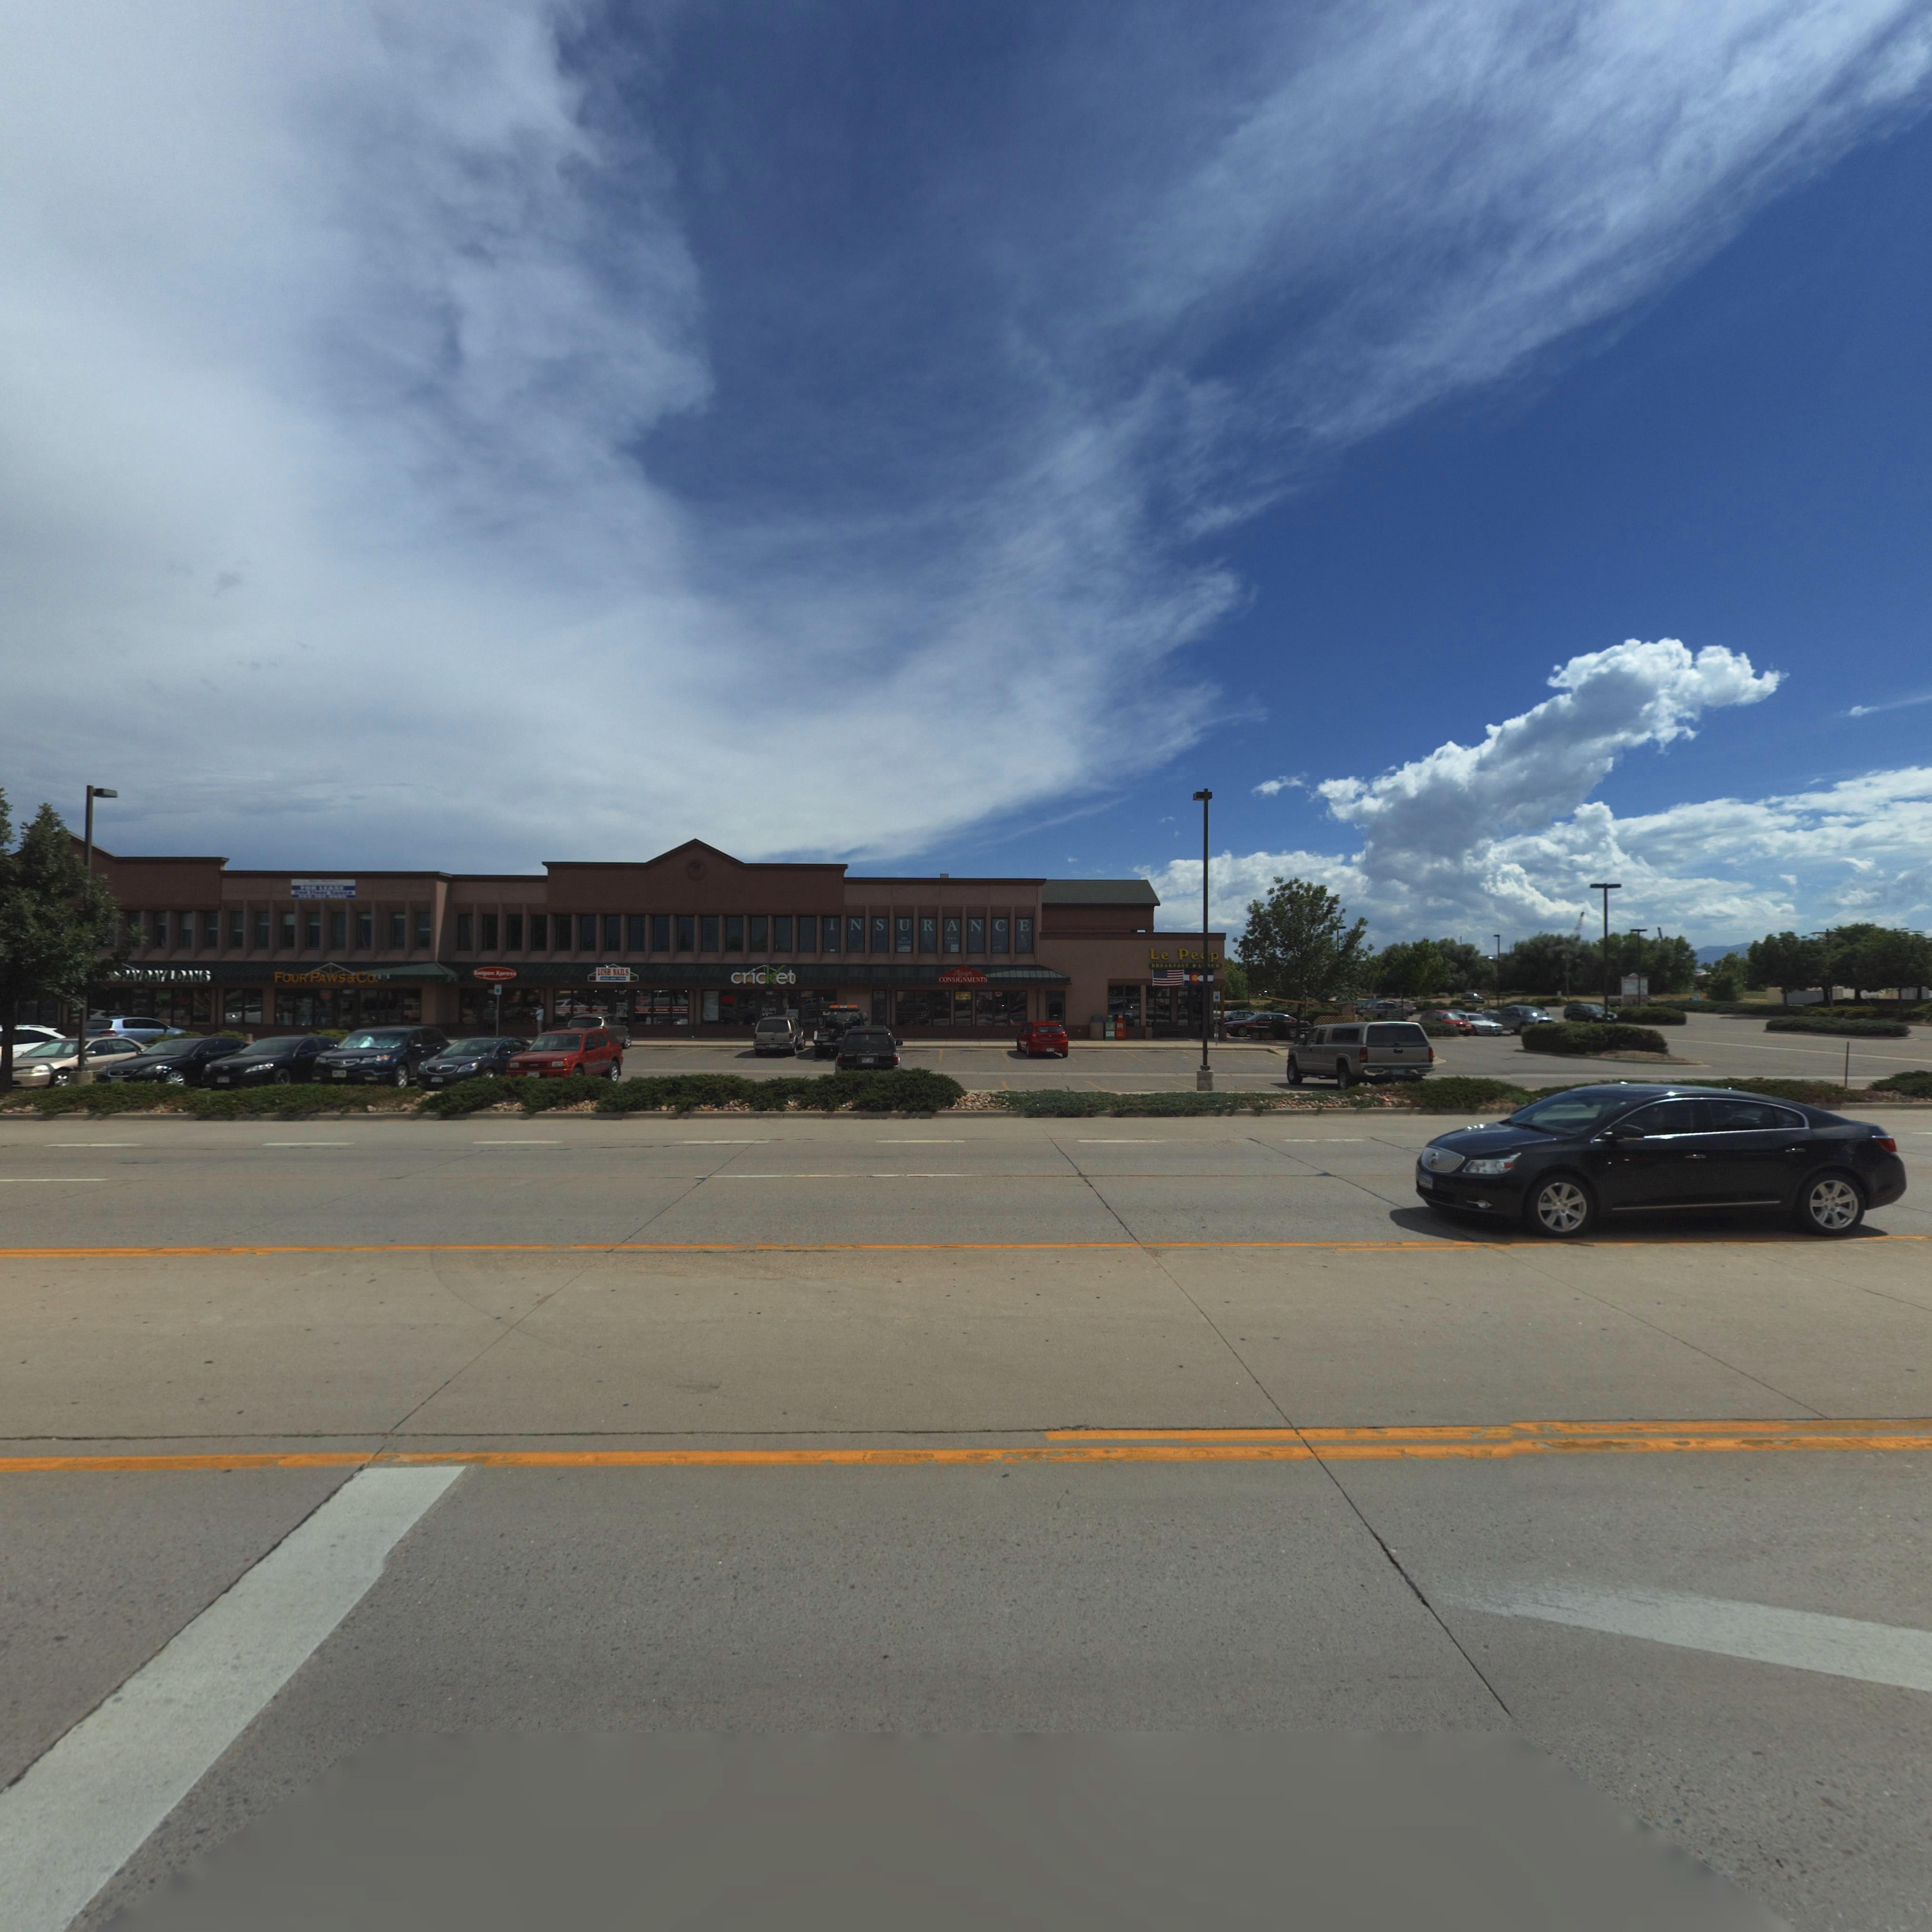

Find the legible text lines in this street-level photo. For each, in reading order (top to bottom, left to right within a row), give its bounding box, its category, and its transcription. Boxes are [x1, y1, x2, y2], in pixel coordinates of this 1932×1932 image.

[1150, 948, 1219, 962] BusinessName: Le Pe*p
[120, 969, 211, 982] BusinessName: PAY DAY LOANS
[273, 971, 378, 983] BusinessName: FOUR PAWS & CO.
[473, 969, 517, 976] BusinessName: Saigon Xpress
[597, 968, 629, 976] BusinessName: LUSH NAILS
[730, 964, 795, 985] BusinessName: cricket
[952, 969, 973, 976] BusinessName: L*******
[938, 976, 988, 983] BusinessName: CONSIGNMENTS
[765, 990, 772, 995] StreetNumber: 1**